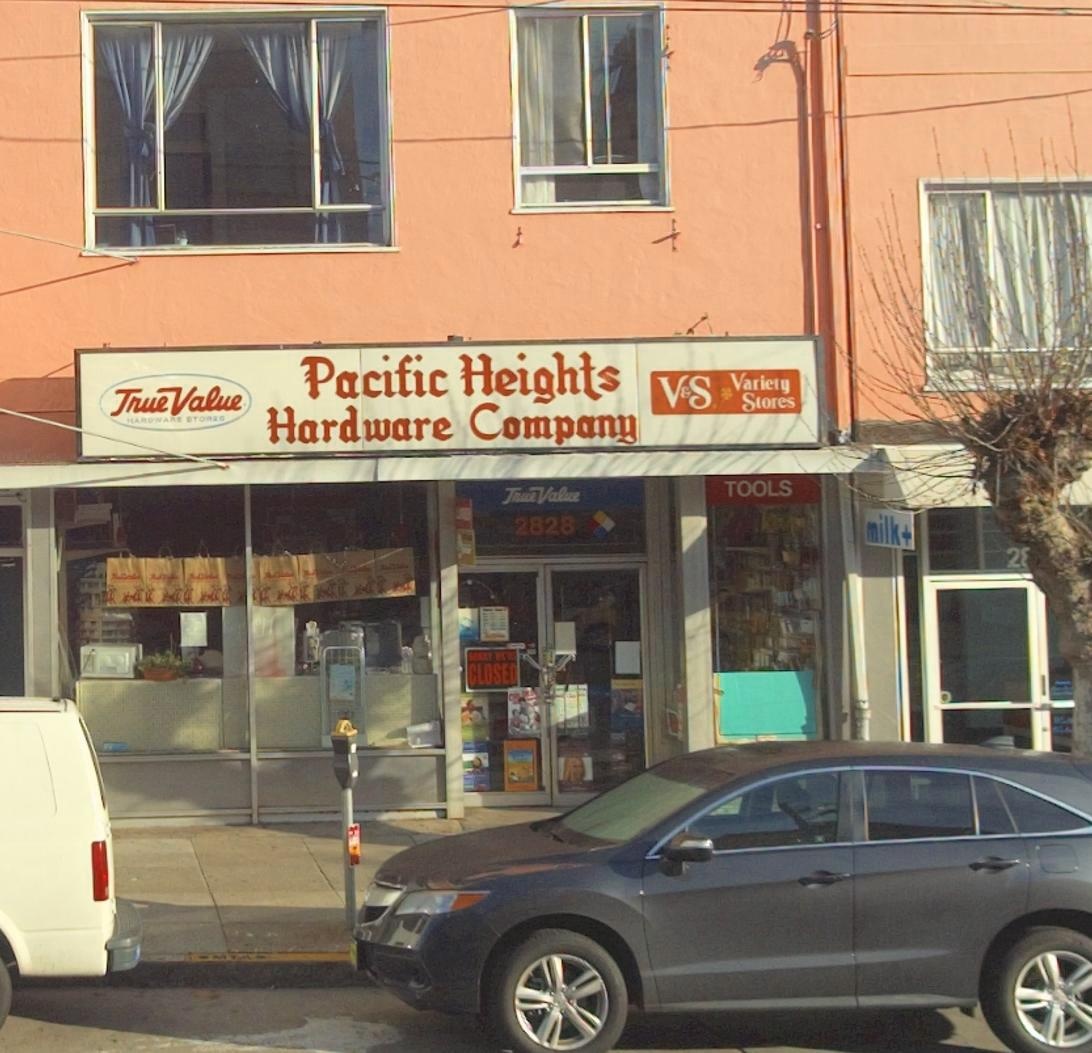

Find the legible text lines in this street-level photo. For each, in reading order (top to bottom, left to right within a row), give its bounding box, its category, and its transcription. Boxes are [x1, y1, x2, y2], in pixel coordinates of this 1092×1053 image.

[107, 382, 246, 420] None: True Value
[291, 347, 625, 408] BusinessName: Pacific Heights
[652, 372, 715, 412] None: V&S
[724, 369, 794, 398] None: Variety
[738, 389, 798, 416] None: Stores
[261, 399, 642, 450] BusinessName: Hardware Company
[496, 483, 583, 508] None: TrueValue
[721, 477, 796, 501] None: TOOLS
[512, 513, 577, 538] StreetNumber: 2828
[864, 511, 905, 549] None: milk
[1002, 542, 1026, 572] StreetNumber: 2
[465, 649, 519, 663] None: SORRY WE'RE
[466, 661, 520, 688] None: CLOSED